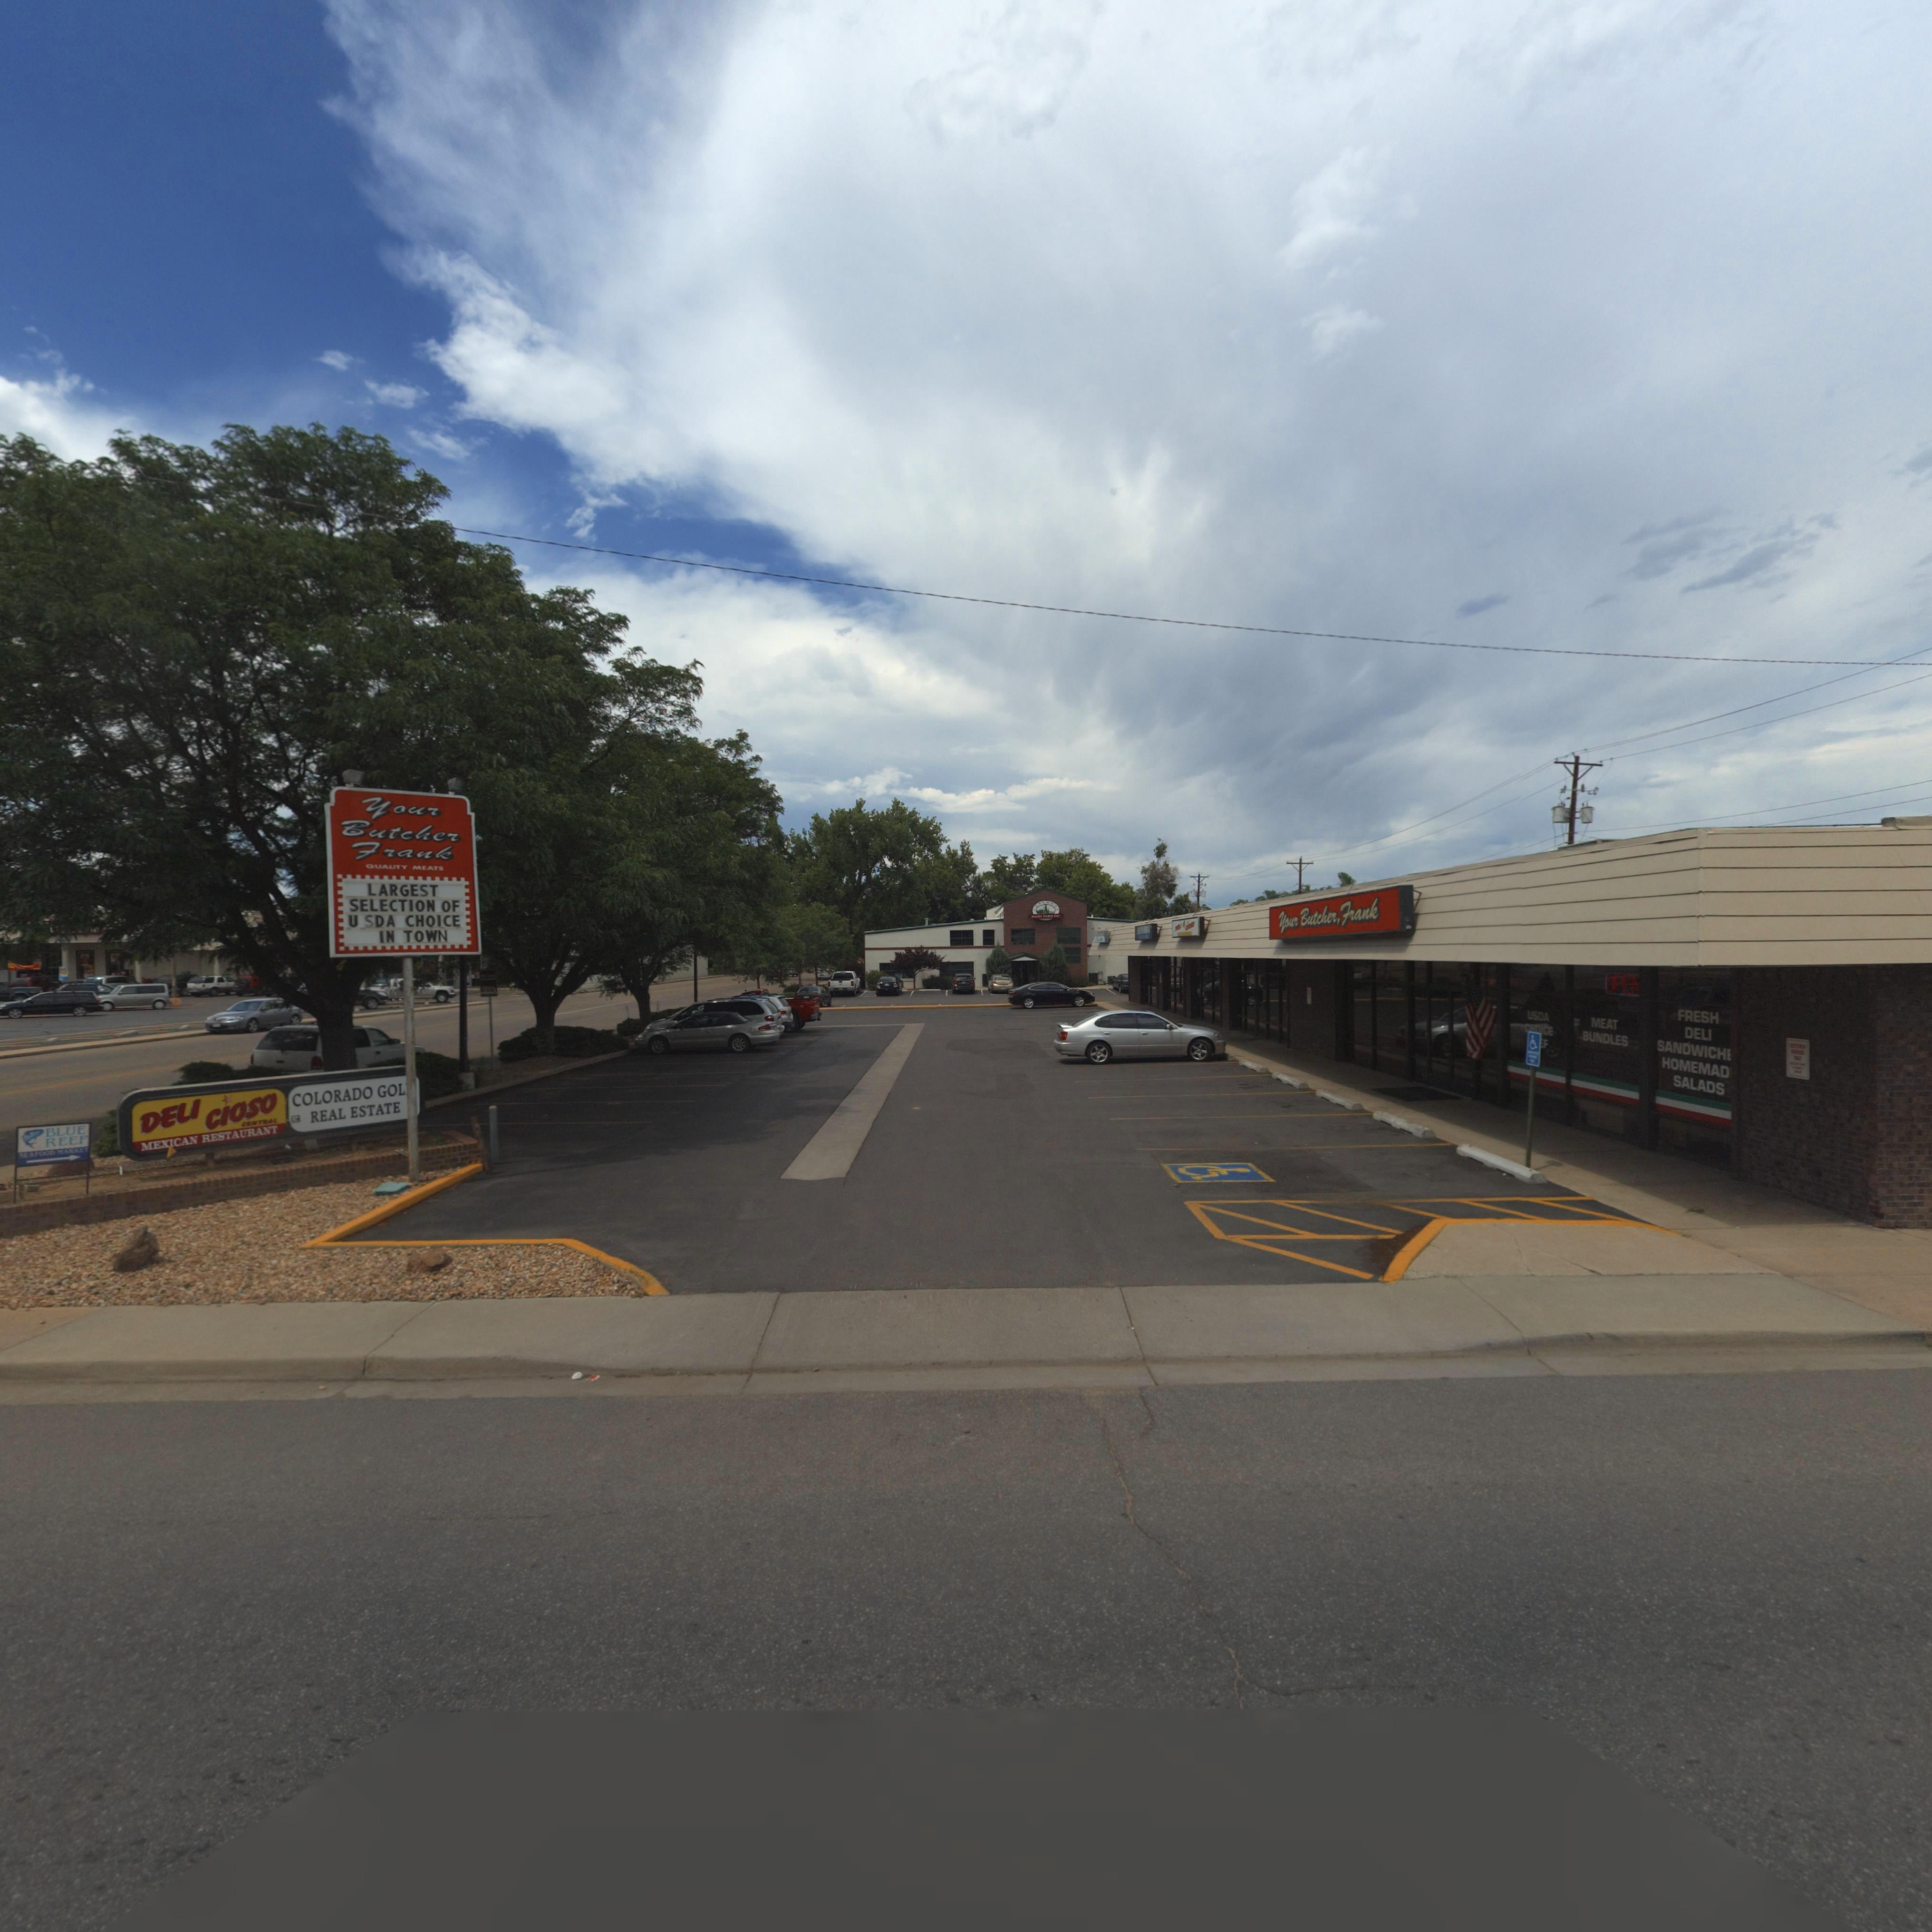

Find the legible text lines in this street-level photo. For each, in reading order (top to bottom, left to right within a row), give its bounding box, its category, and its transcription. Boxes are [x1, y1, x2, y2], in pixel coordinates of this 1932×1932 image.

[361, 795, 441, 821] BusinessName: Your
[340, 819, 462, 843] BusinessName: Butcher
[351, 841, 454, 860] BusinessName: Frank
[1175, 923, 1181, 931] BusinessName: DELI
[1185, 921, 1194, 931] BusinessName: C****O
[1278, 896, 1380, 935] BusinessName: Your Butcher, Frank
[292, 1083, 405, 1108] BusinessName: COLORADO GOL
[140, 1098, 201, 1133] BusinessName: DELI
[205, 1092, 277, 1130] BusinessName: CIOSO
[241, 1118, 277, 1127] BusinessName: CENTRAL
[310, 1101, 400, 1123] BusinessName: REAL ESTATE